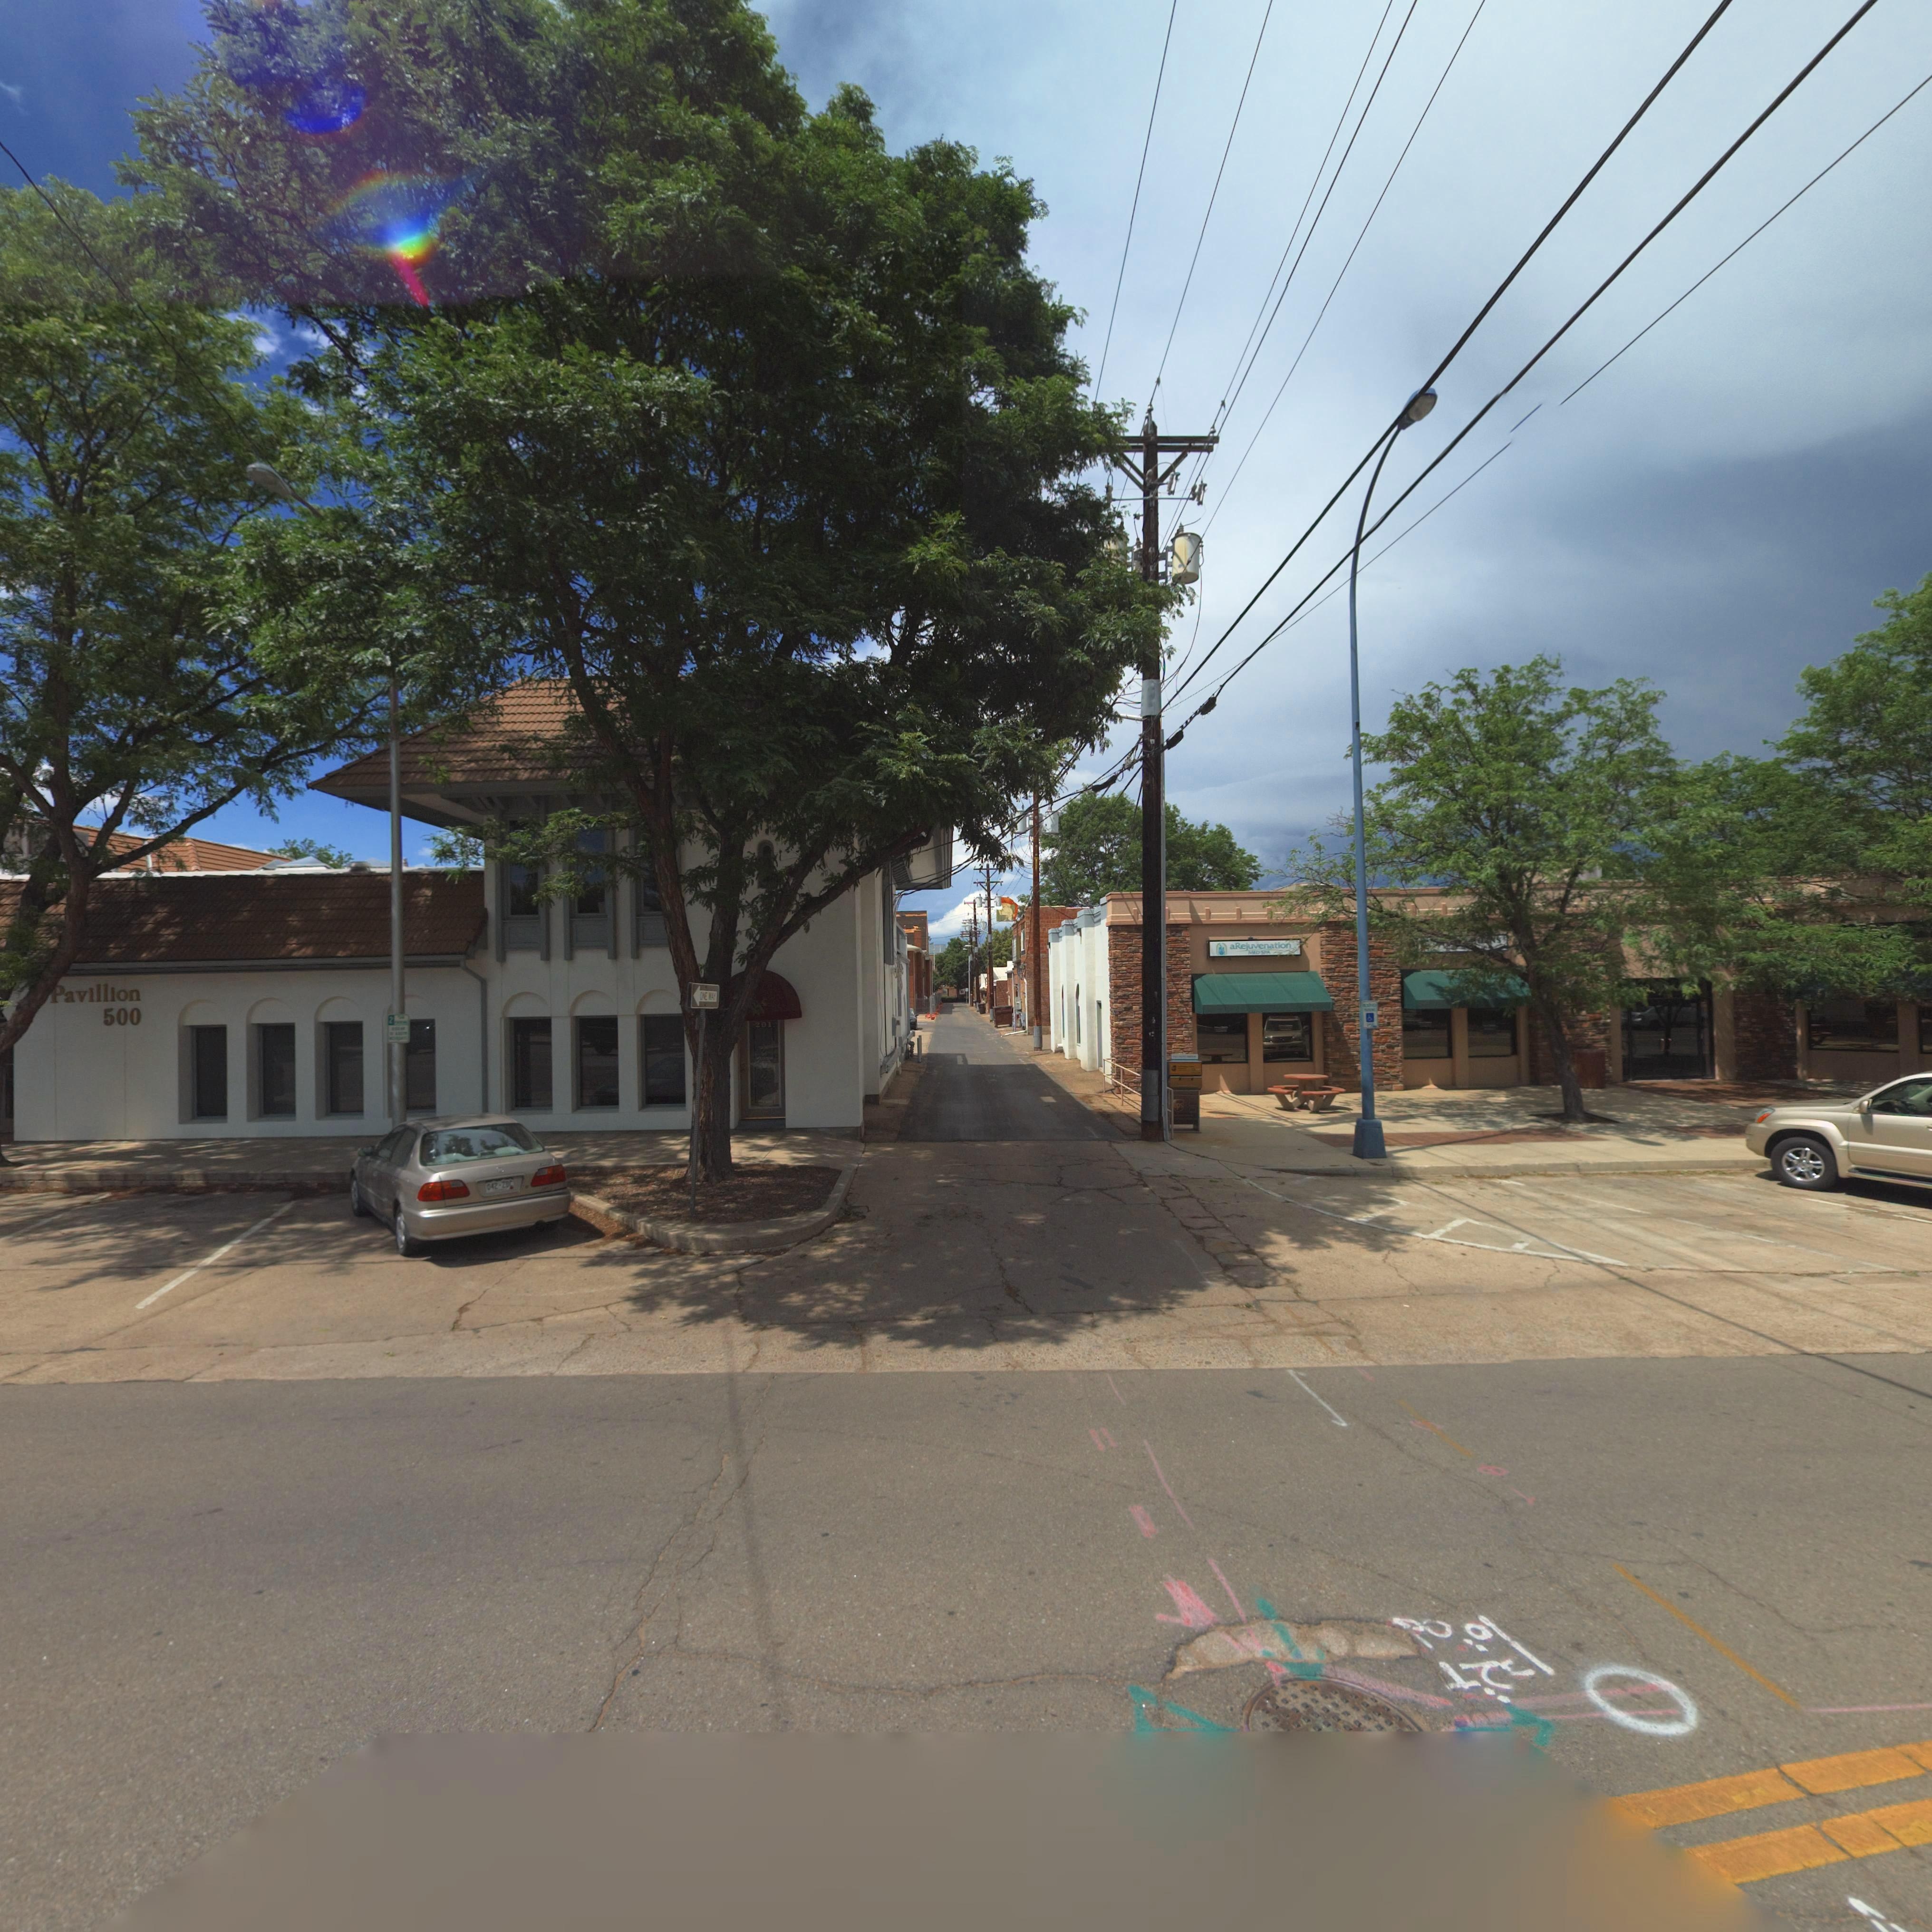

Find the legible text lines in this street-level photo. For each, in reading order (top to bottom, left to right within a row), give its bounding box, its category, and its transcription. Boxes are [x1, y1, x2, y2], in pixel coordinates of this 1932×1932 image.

[1229, 942, 1291, 951] BusinessName: aRejuvenation
[1247, 950, 1271, 954] BusinessName: MED SPA
[102, 1007, 142, 1026] StreetNumber: 500
[754, 1021, 772, 1028] StreetNumber: 201